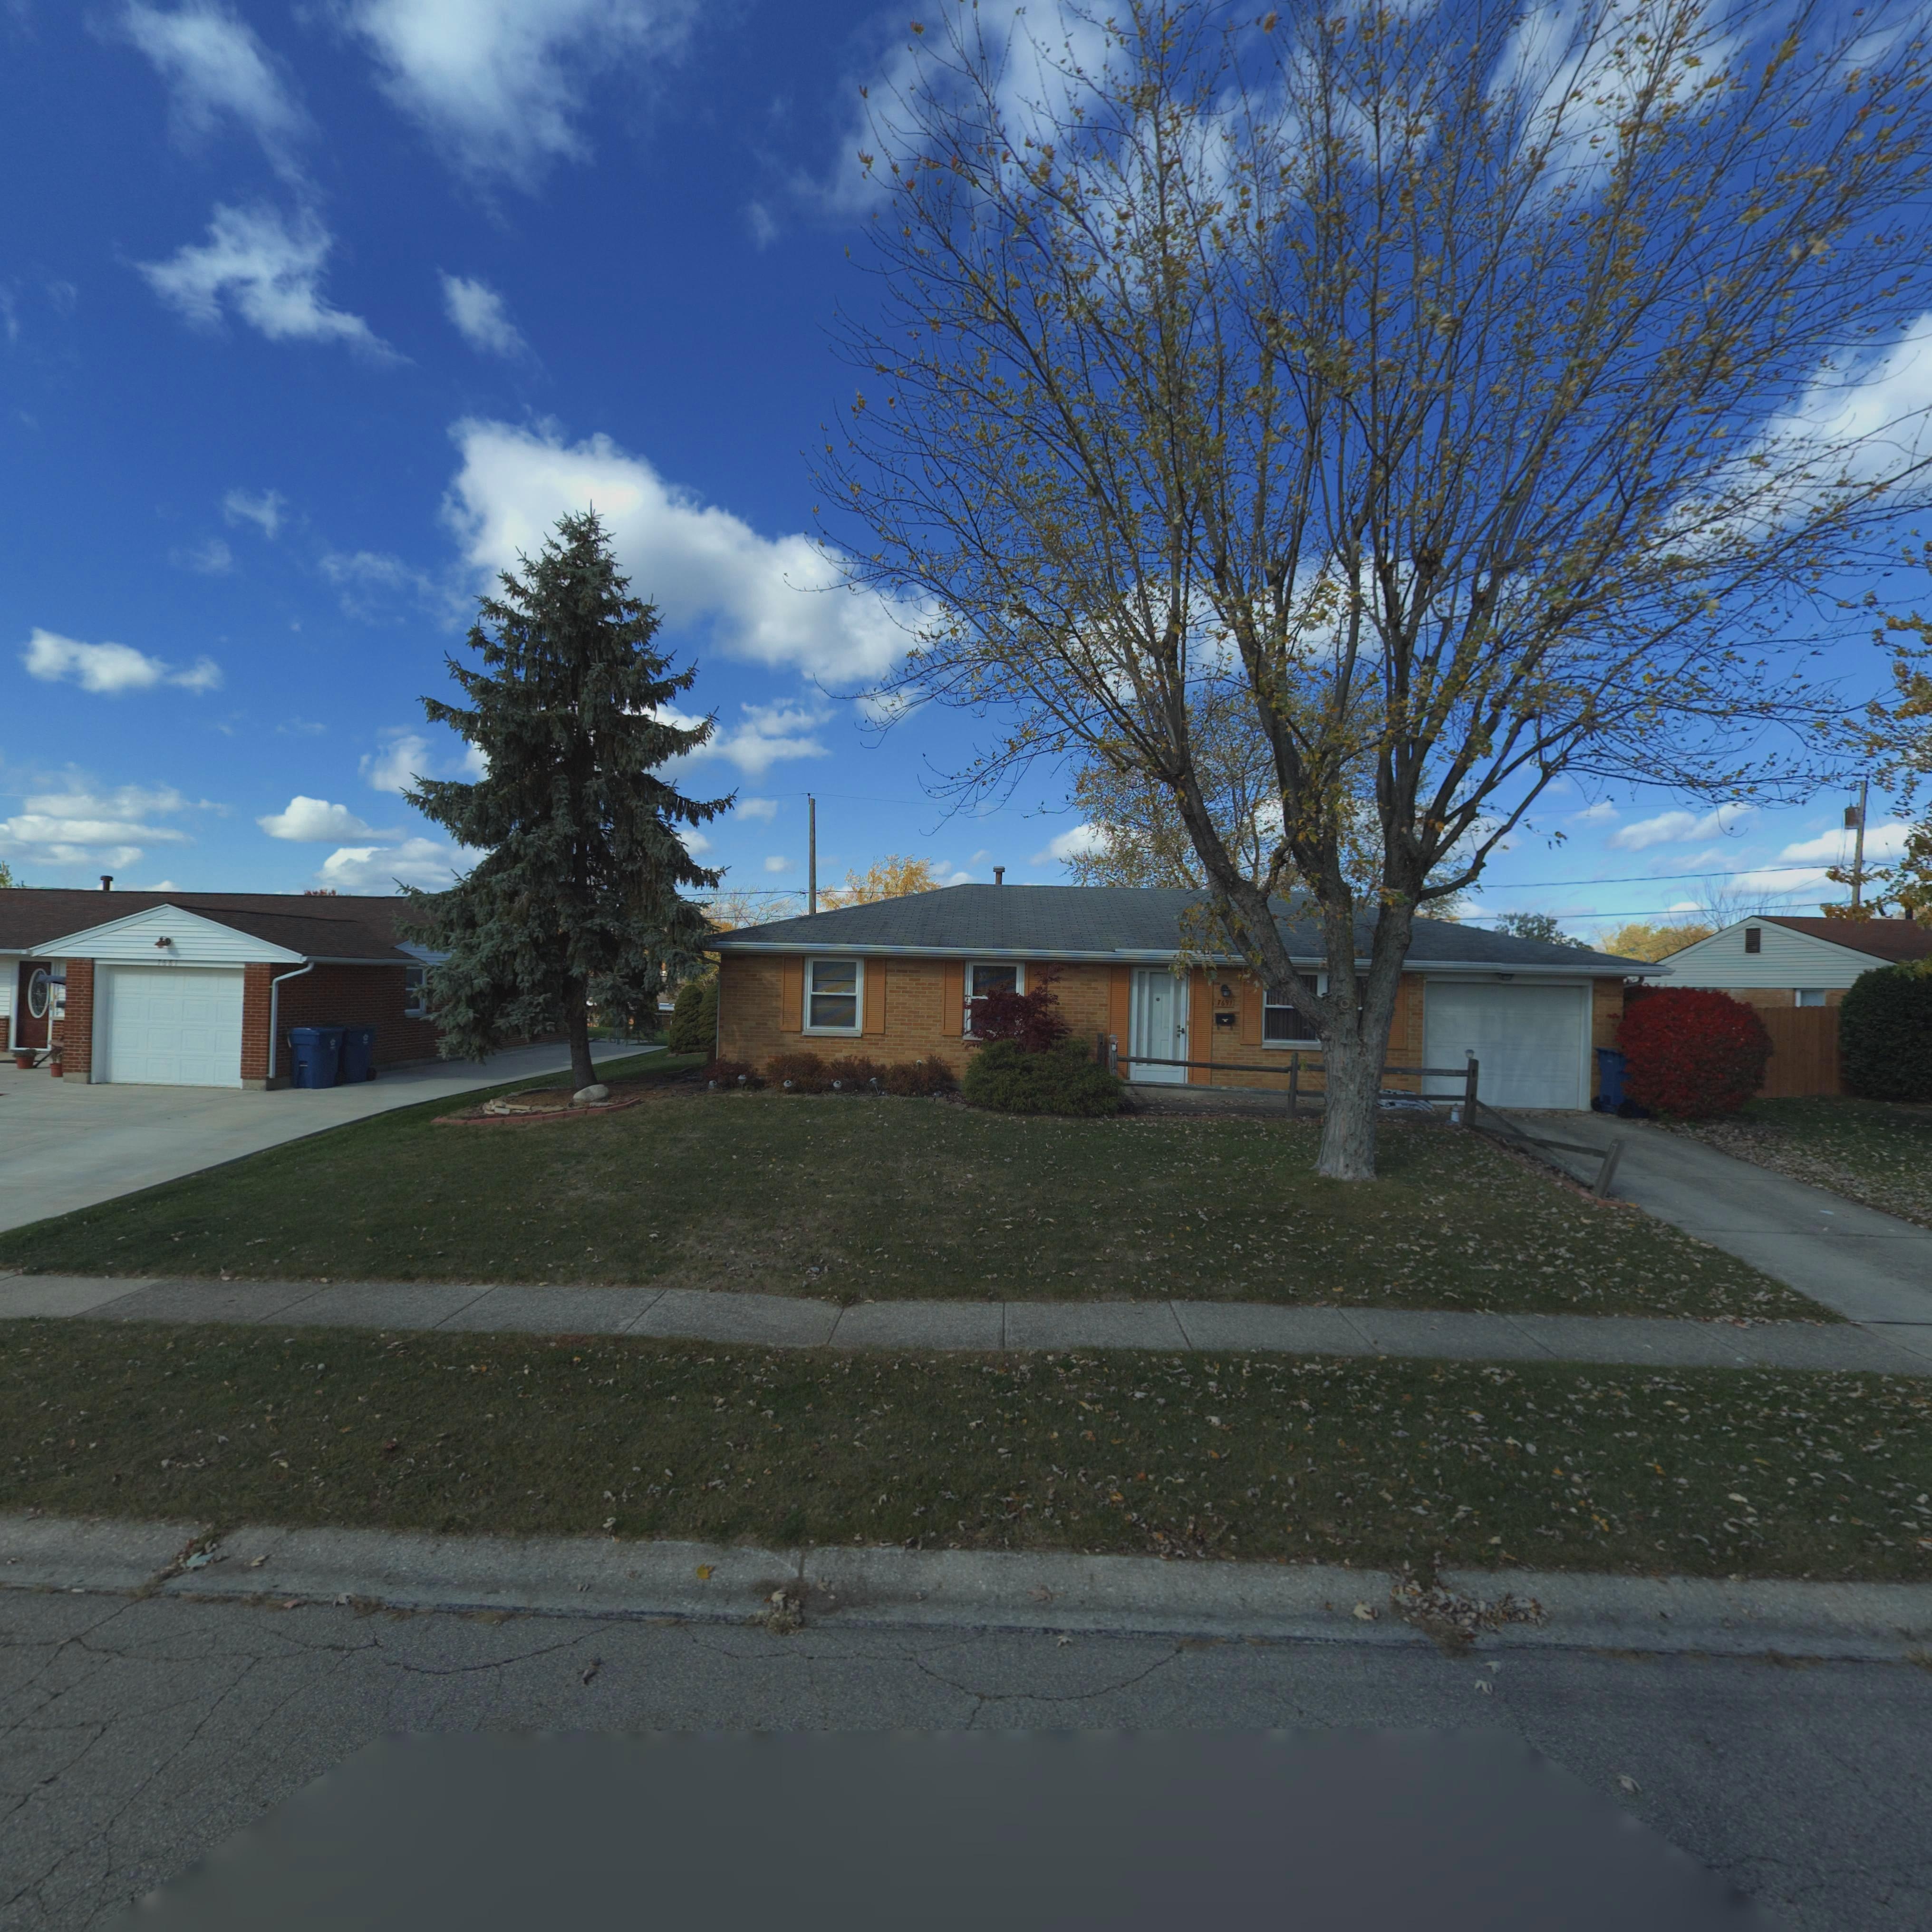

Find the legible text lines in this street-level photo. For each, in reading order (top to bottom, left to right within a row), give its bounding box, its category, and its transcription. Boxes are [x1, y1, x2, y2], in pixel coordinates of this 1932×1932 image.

[157, 959, 179, 967] StreetNumber: 7681
[1217, 999, 1233, 1007] StreetNumber: 7691